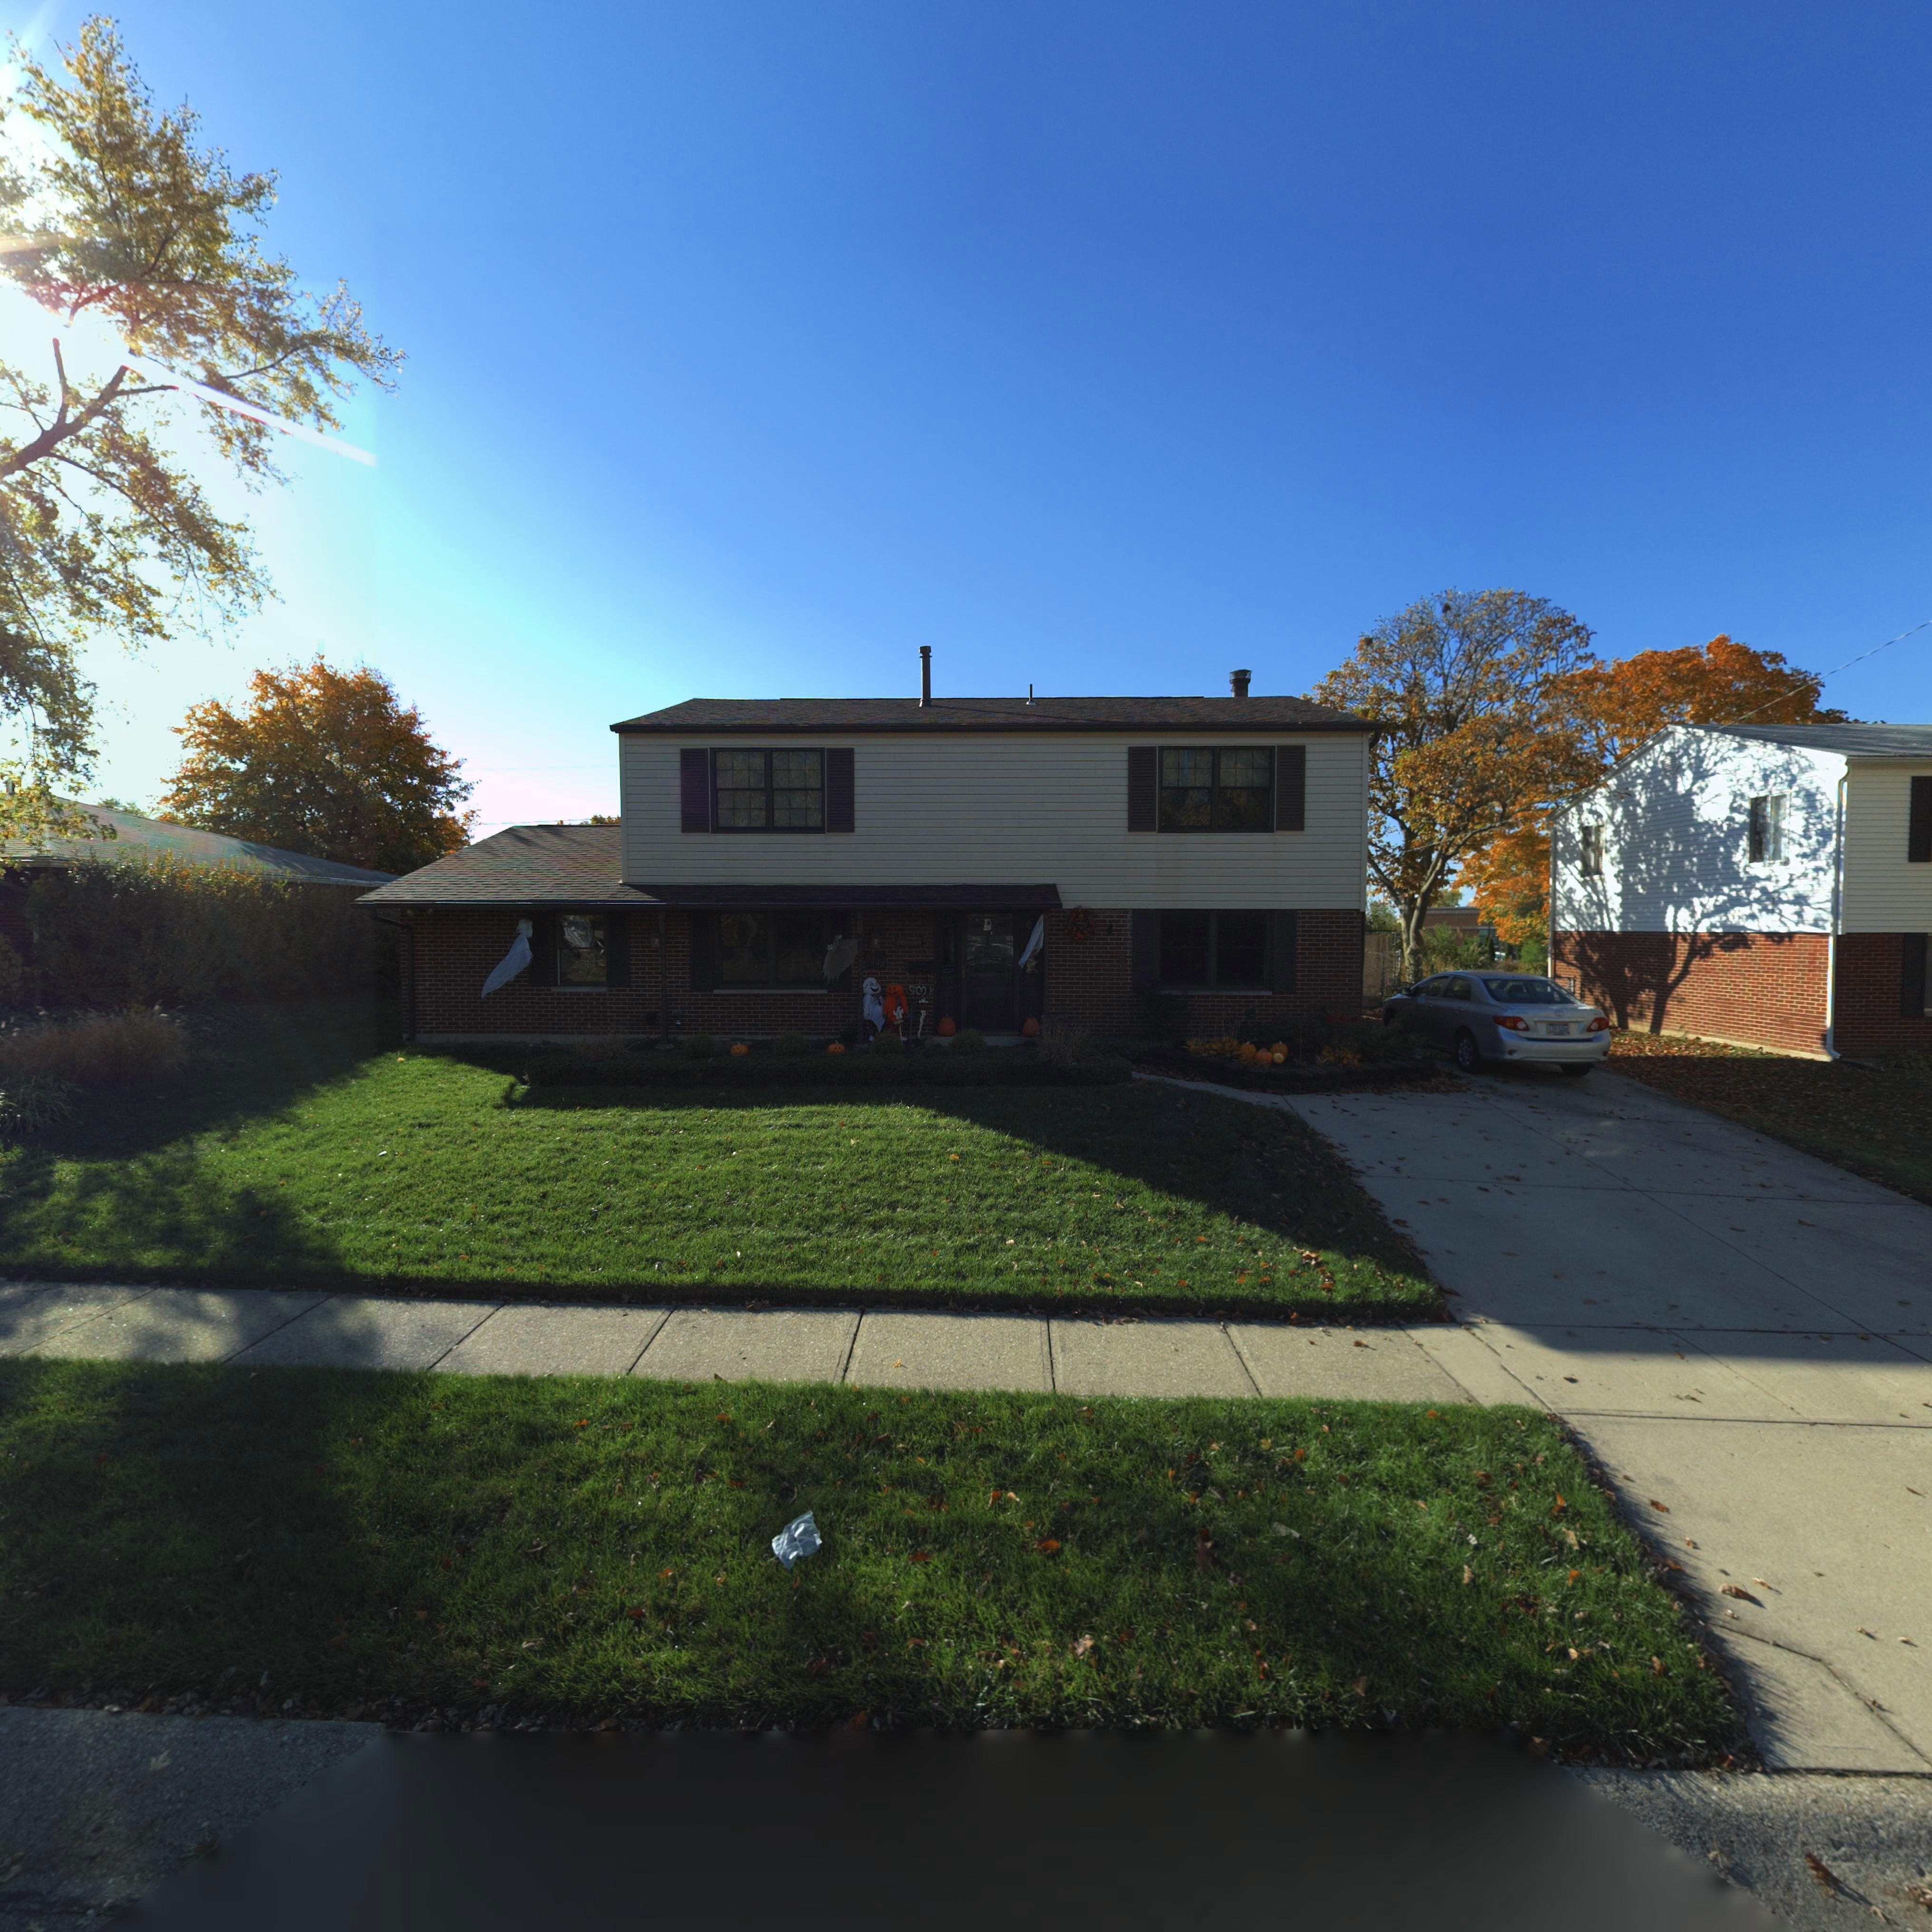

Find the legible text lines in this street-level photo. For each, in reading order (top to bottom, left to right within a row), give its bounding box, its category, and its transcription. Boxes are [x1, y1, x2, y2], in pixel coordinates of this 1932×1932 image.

[865, 953, 886, 969] StreetNumber: 6212